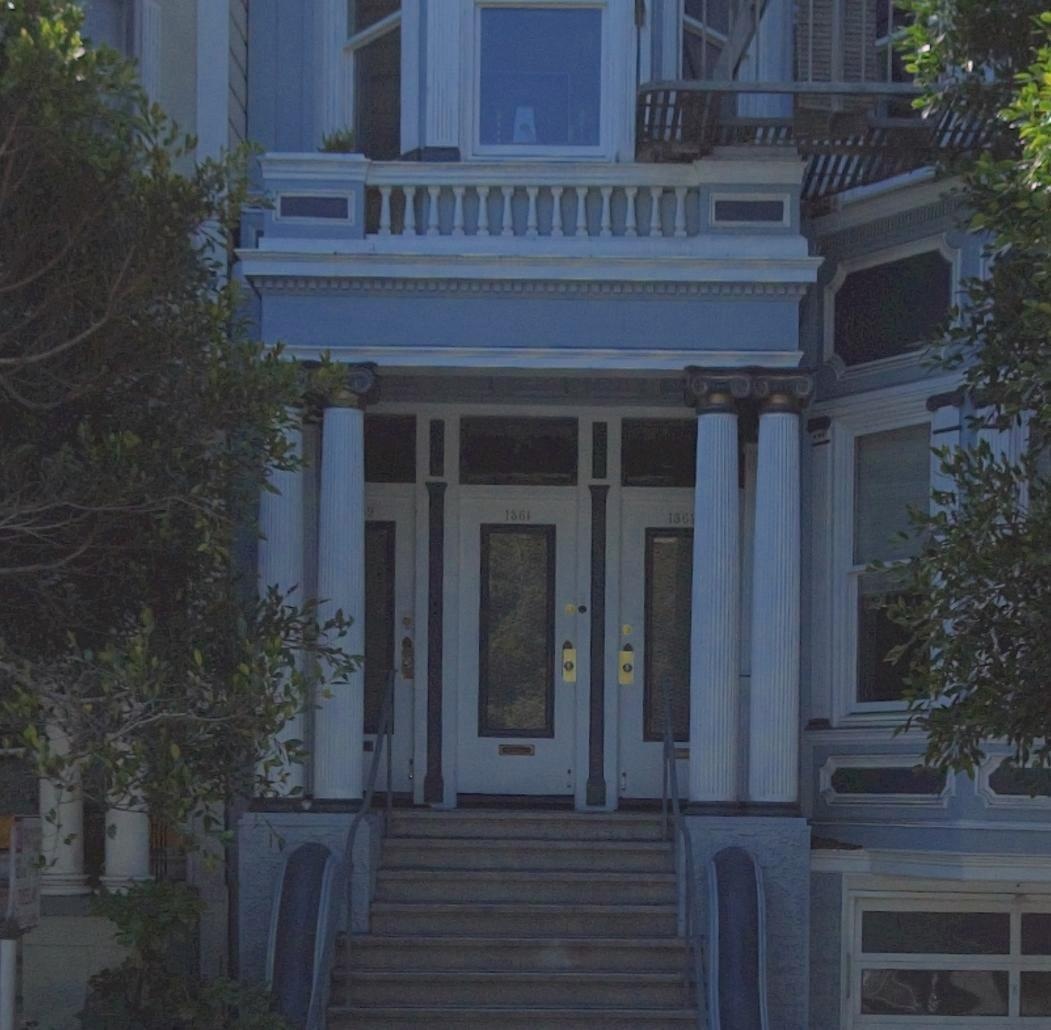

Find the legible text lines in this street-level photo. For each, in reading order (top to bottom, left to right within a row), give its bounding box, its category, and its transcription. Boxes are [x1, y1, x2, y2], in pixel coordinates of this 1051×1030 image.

[365, 505, 374, 519] StreetNumber: 9
[505, 508, 532, 523] StreetNumber: 1361
[666, 511, 694, 525] StreetNumber: 136*